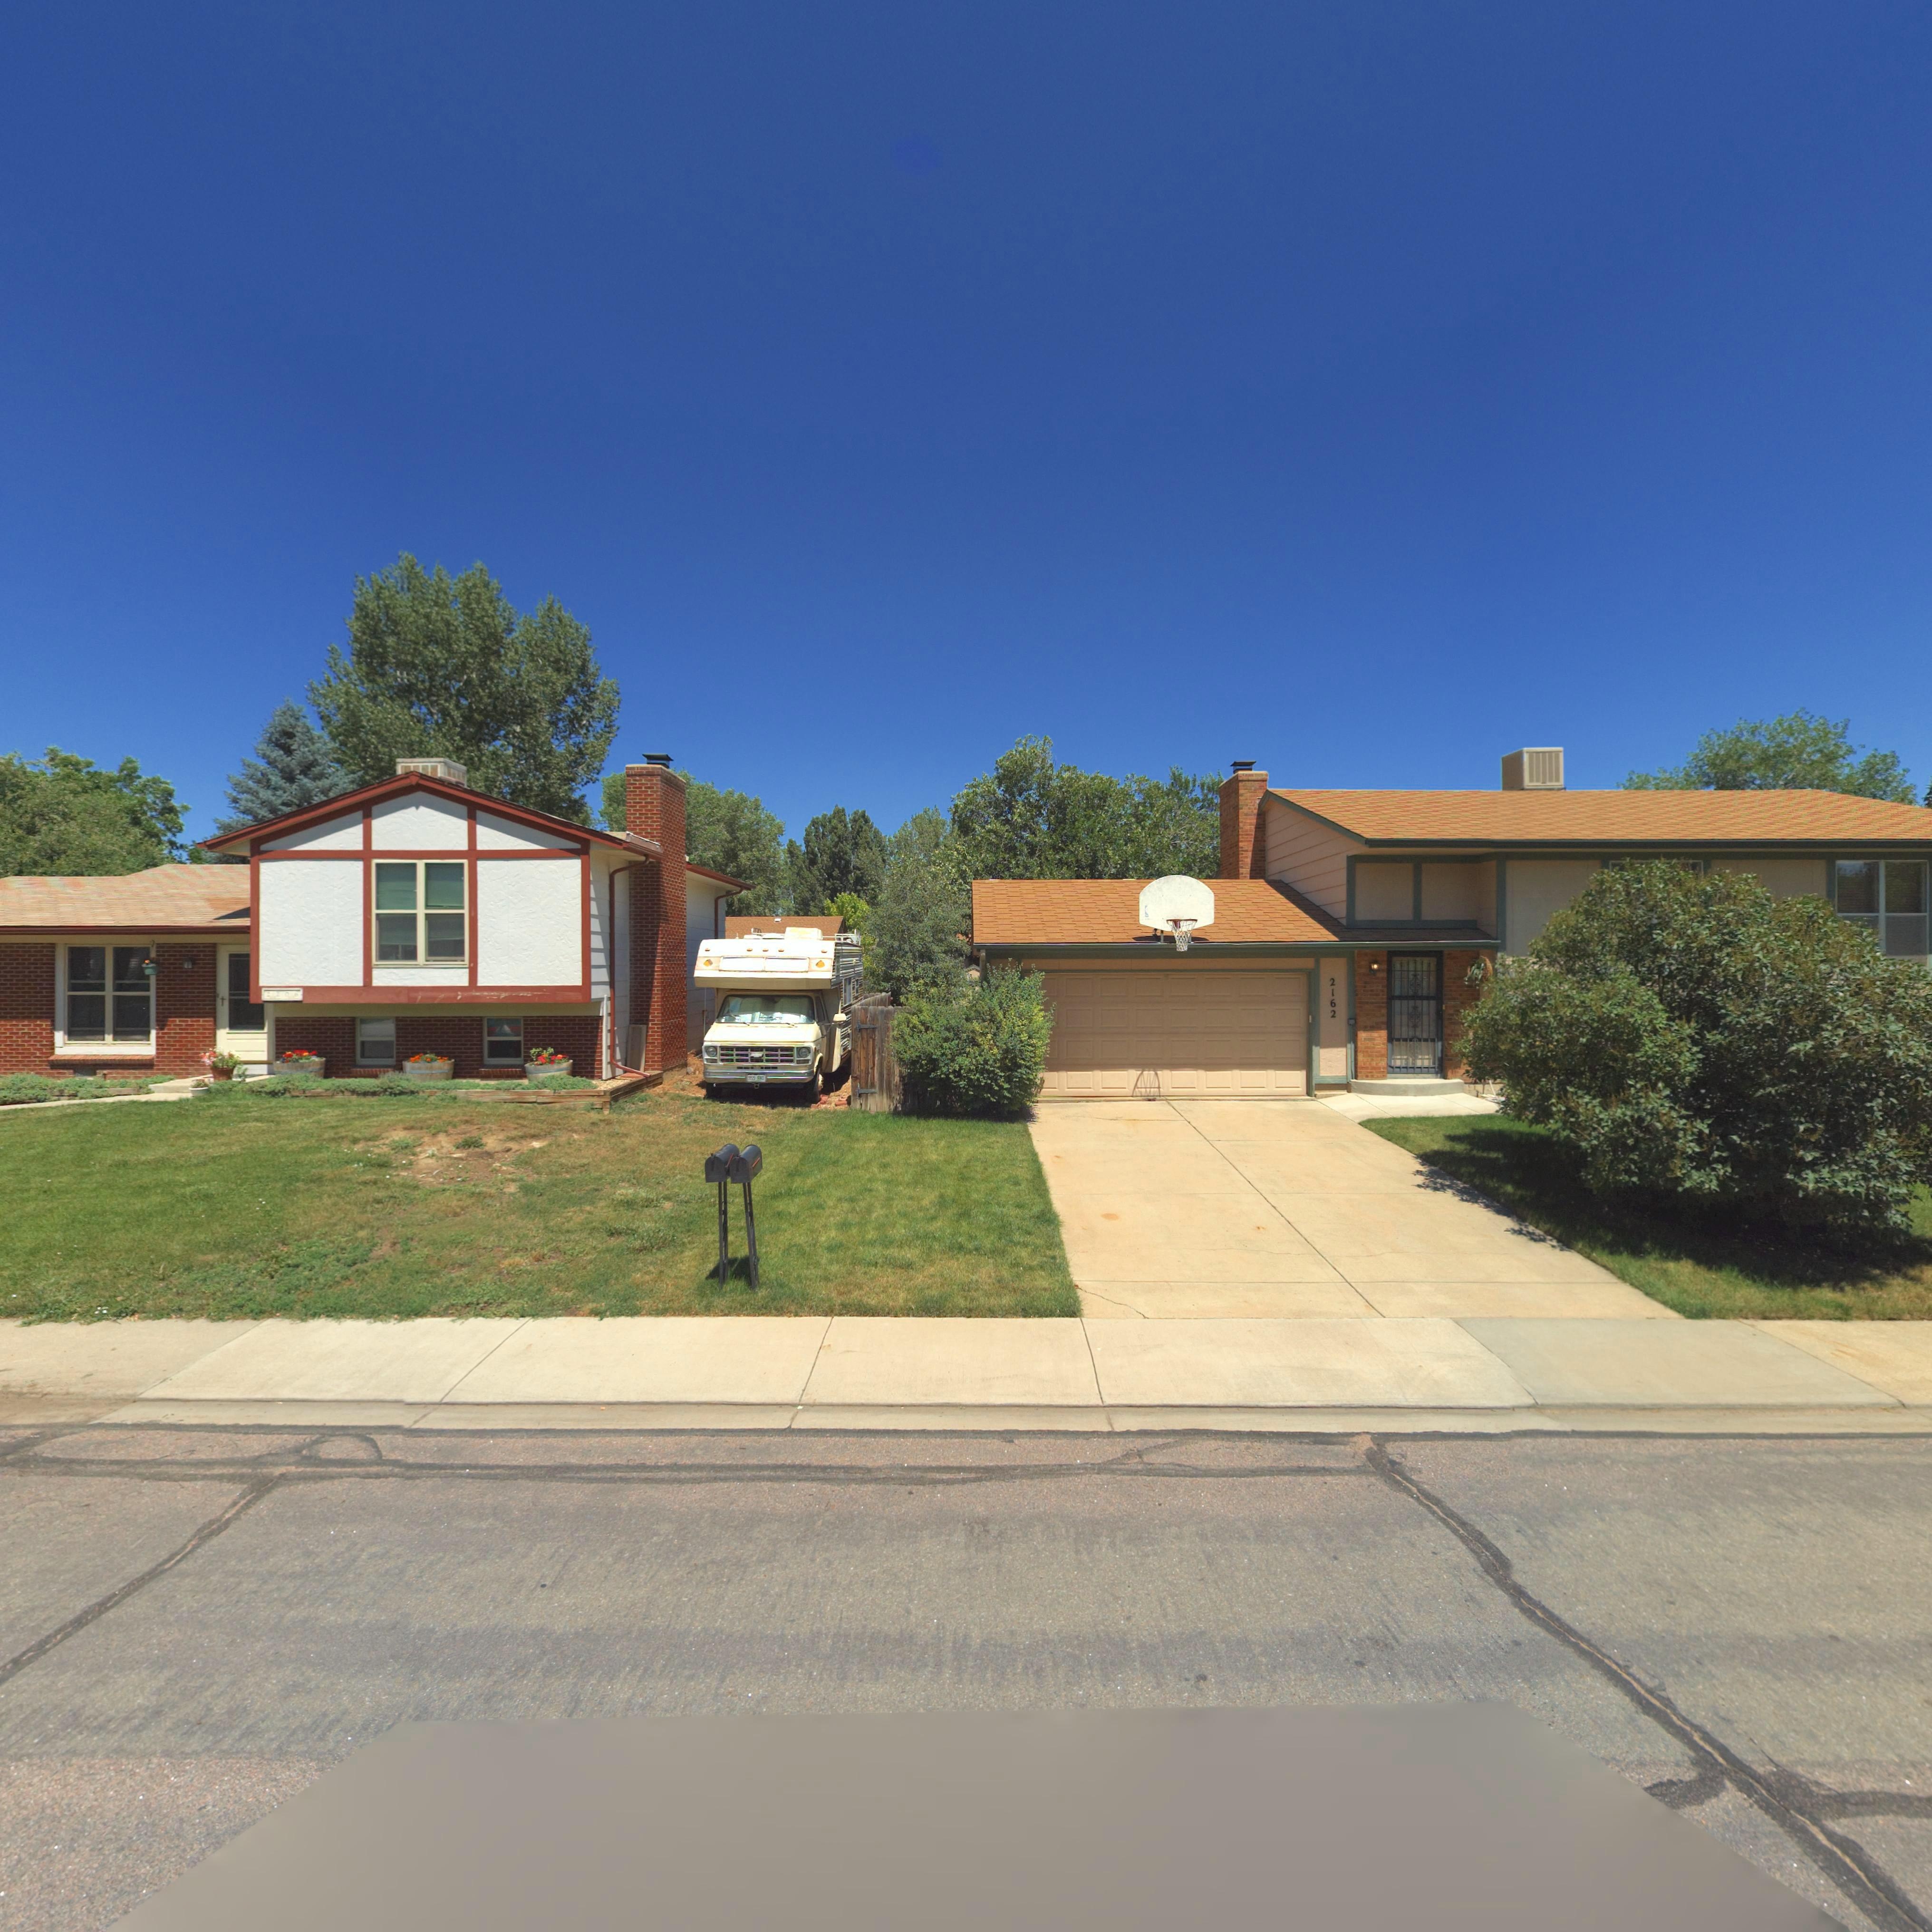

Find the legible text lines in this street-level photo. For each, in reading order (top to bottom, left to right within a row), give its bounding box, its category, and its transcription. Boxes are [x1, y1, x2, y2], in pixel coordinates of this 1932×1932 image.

[1328, 976, 1336, 1018] StreetNumber: 2162